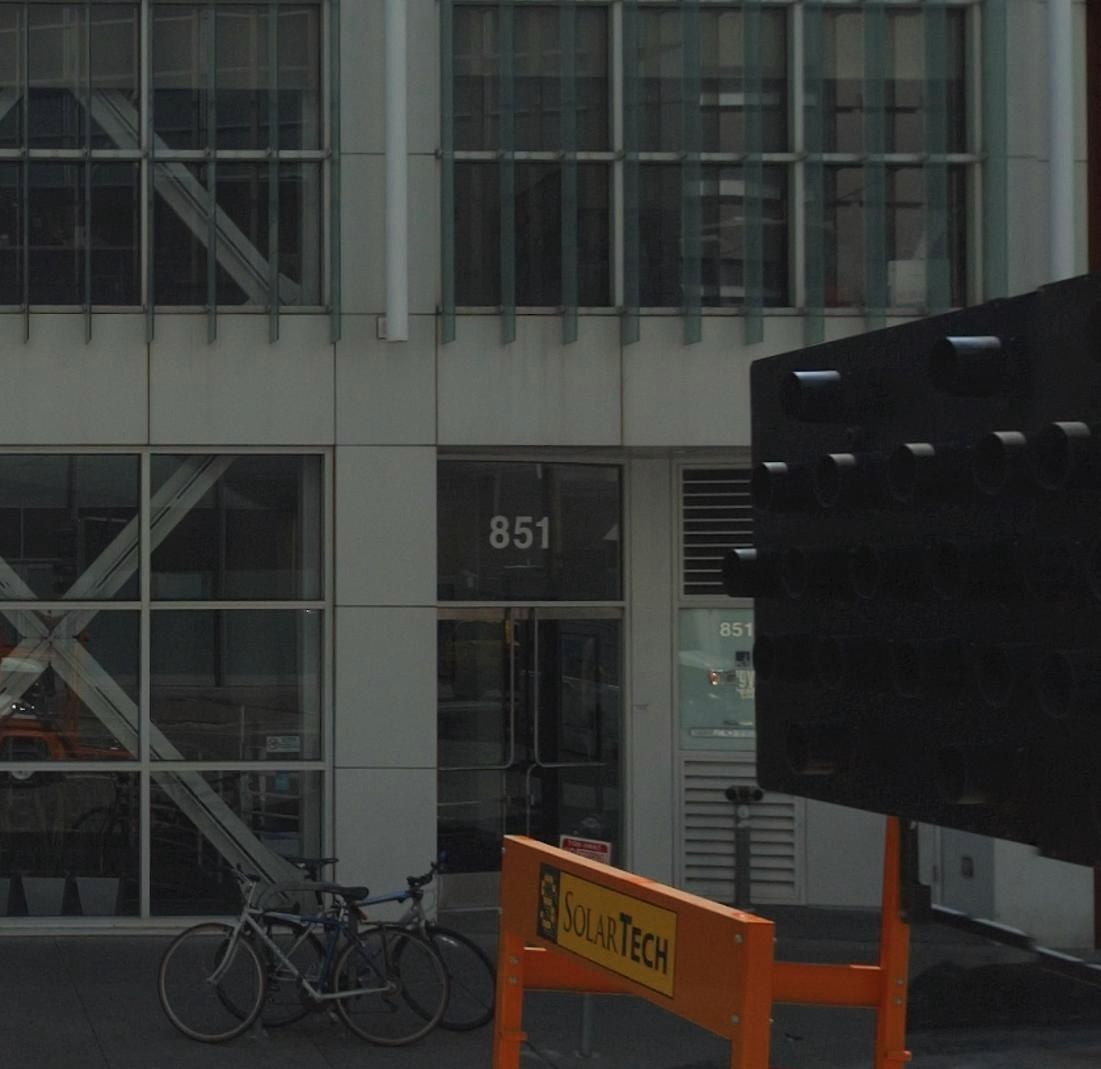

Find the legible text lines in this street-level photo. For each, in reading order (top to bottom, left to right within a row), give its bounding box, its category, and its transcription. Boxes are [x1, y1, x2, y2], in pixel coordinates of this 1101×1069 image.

[488, 514, 550, 550] StreetNumber: 851
[719, 621, 753, 638] None: 851
[537, 871, 557, 932] None: S
[561, 888, 670, 977] None: SOLAR TECH